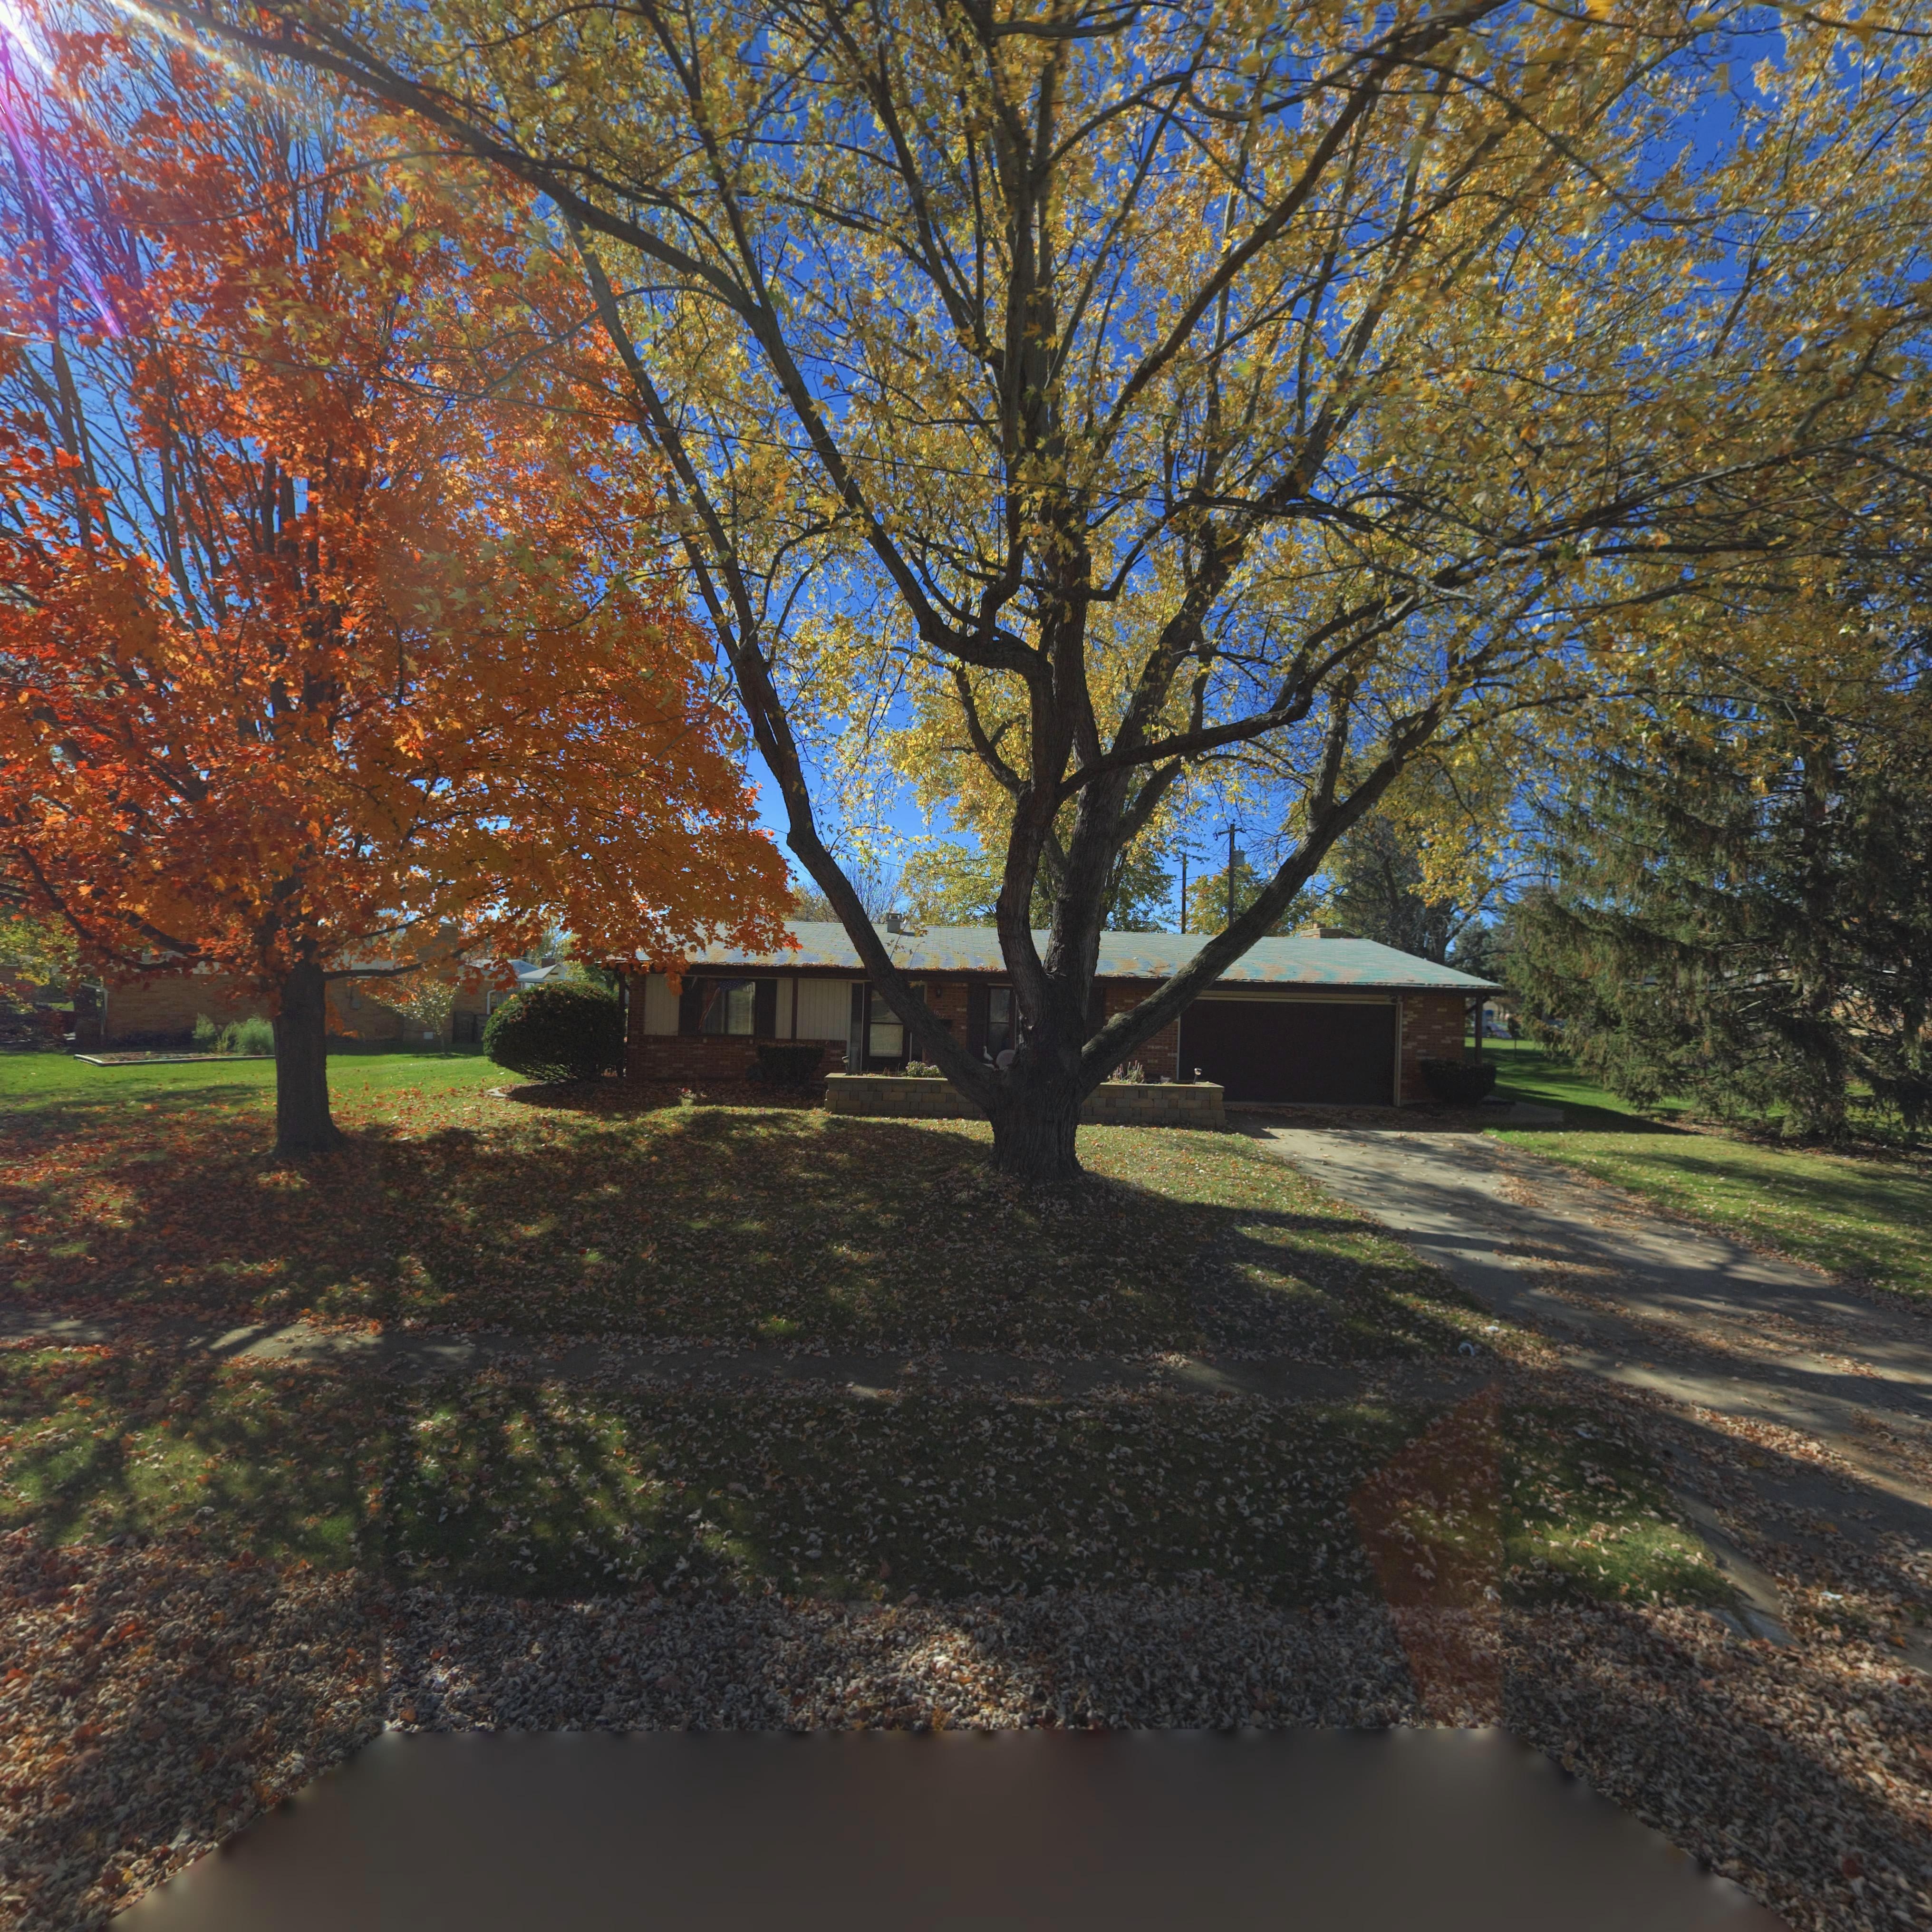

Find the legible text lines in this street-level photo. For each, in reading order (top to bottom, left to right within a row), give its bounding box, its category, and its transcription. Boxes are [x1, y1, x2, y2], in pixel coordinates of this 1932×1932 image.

[933, 1009, 945, 1018] StreetNumber: 1010